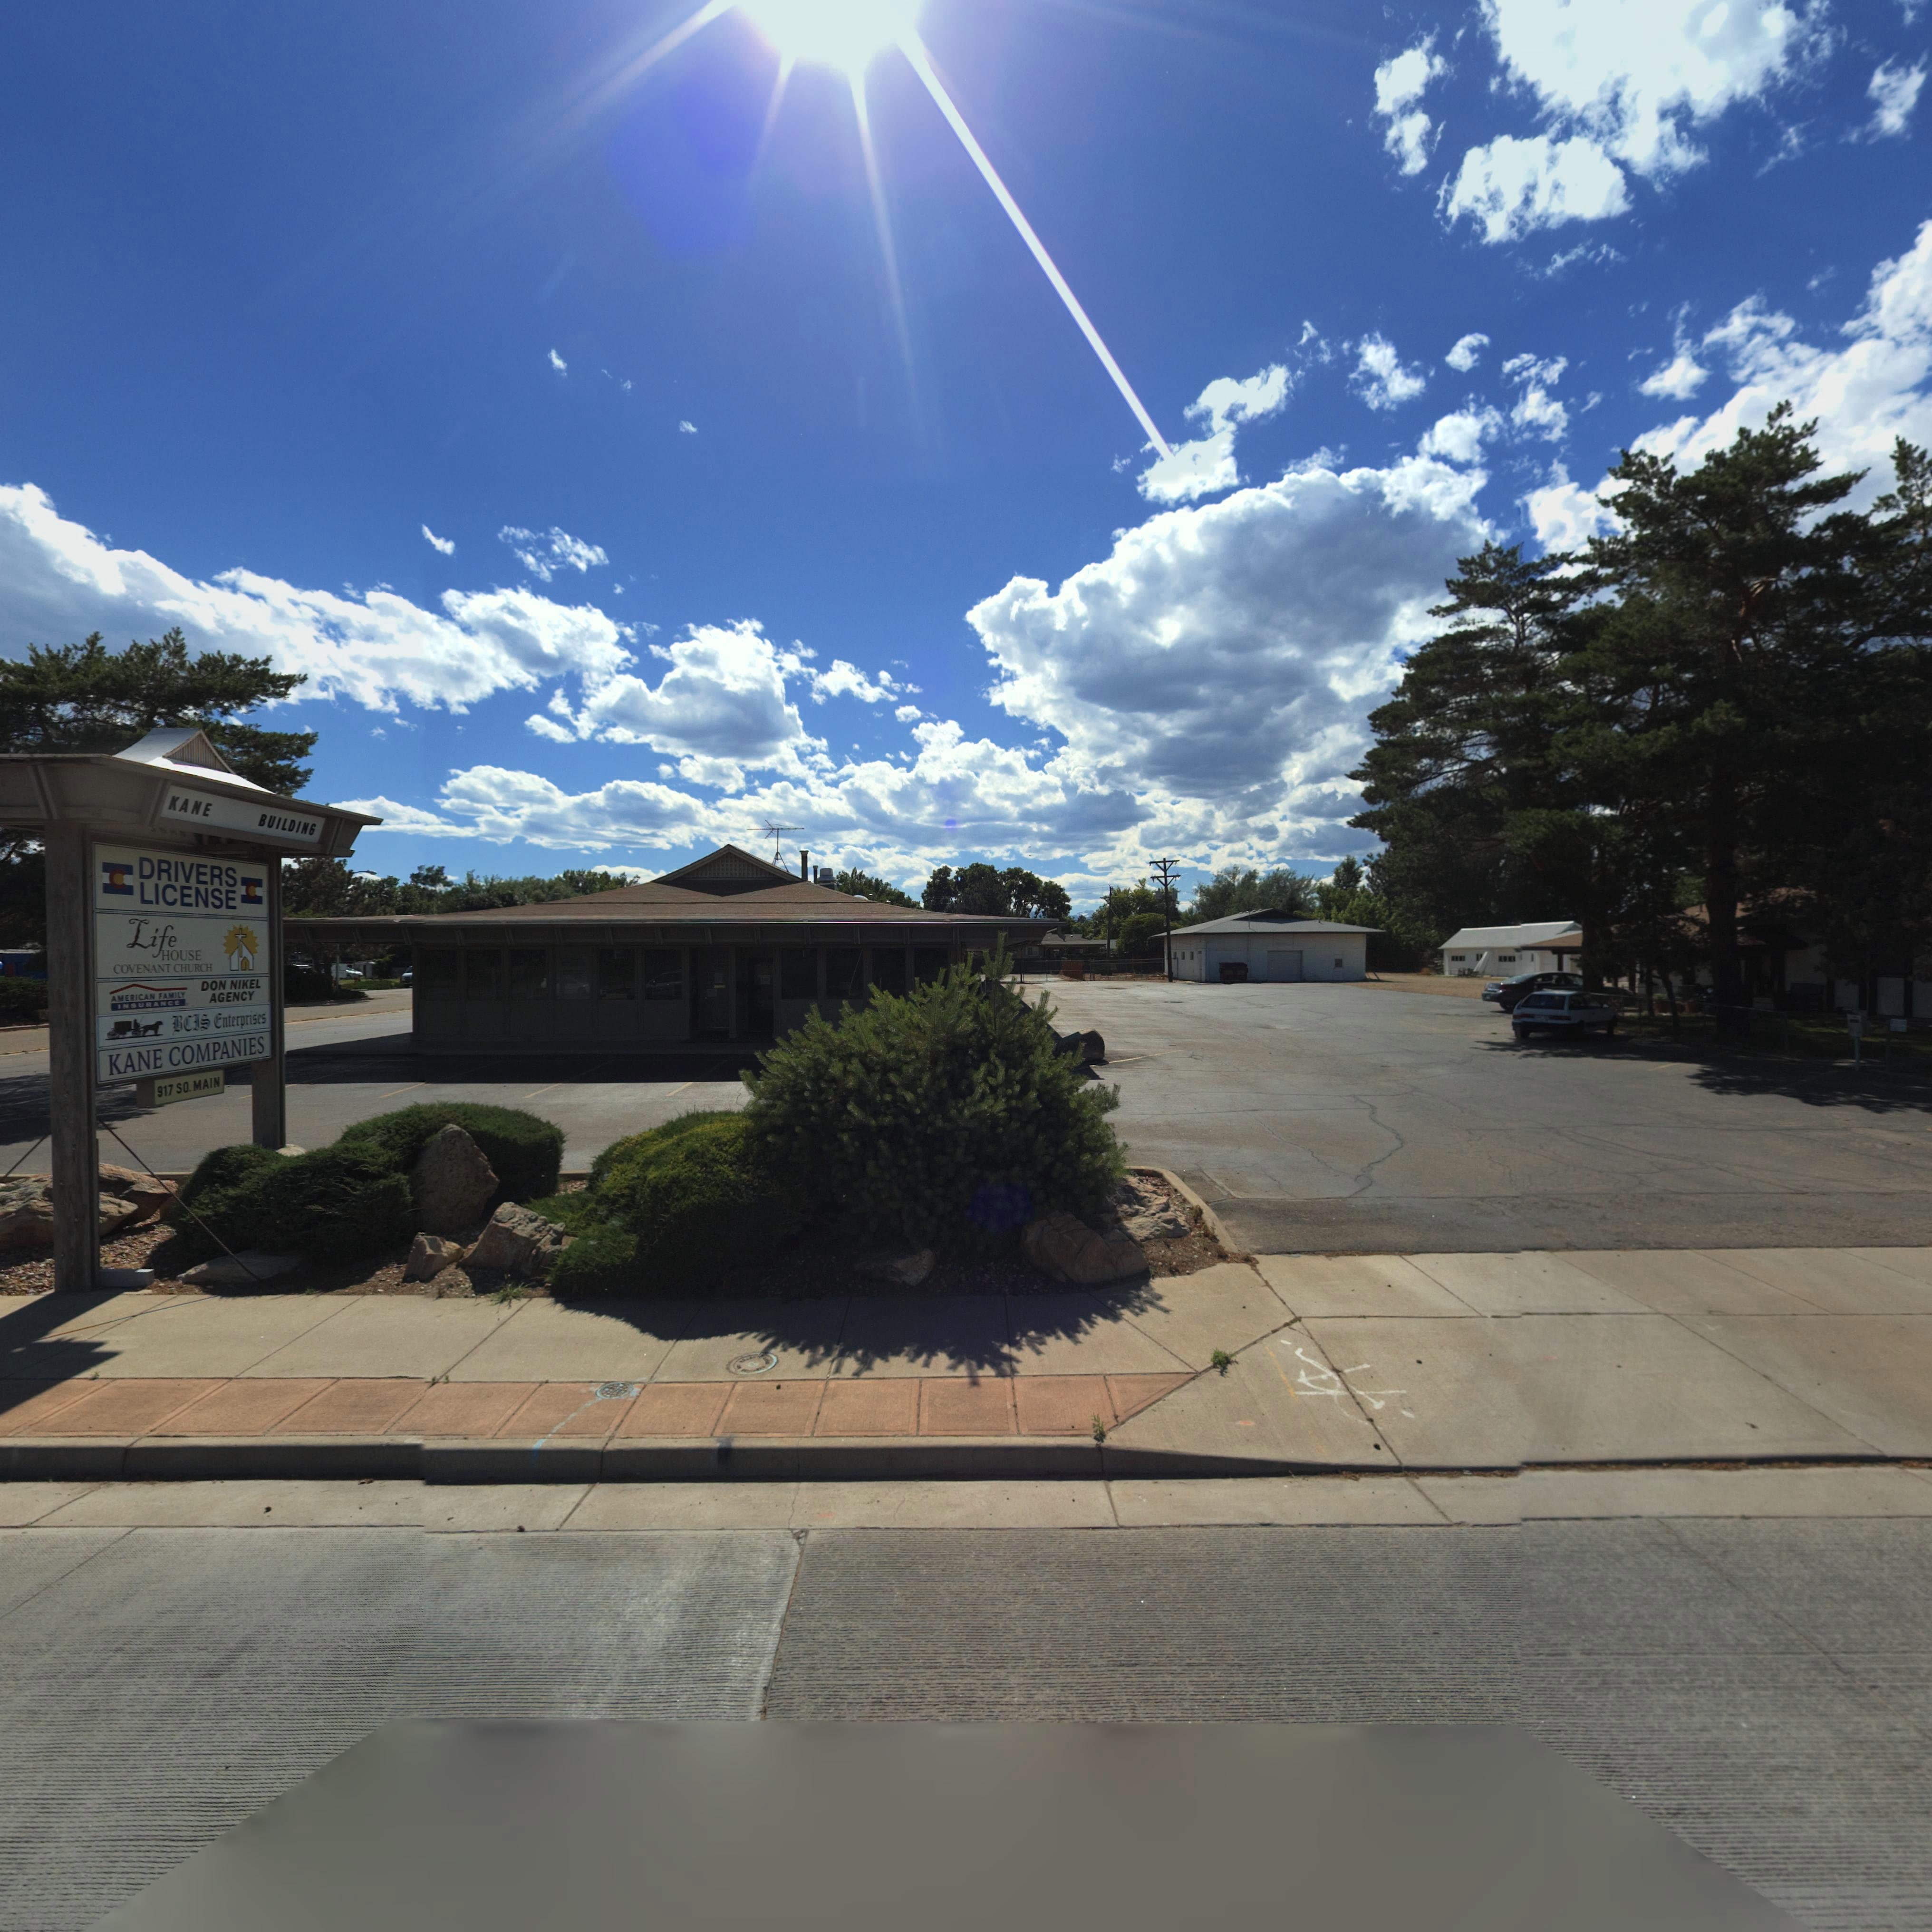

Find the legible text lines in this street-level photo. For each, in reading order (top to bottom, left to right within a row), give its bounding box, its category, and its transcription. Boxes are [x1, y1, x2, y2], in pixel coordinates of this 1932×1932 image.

[166, 793, 318, 838] BusinessName: KANE BUILDING
[125, 916, 177, 959] BusinessName: Life
[161, 949, 202, 961] BusinessName: HOUSE
[112, 962, 213, 975] BusinessName: COVENANT CHURCH
[109, 991, 186, 1003] BusinessName: AMERICAN FAMILY
[116, 999, 180, 1010] BusinessName: INSURANCE
[172, 1010, 267, 1034] BusinessName: BCIS Enterprises
[156, 1083, 174, 1099] StreetNumber: 917
[175, 1075, 220, 1094] StreetName: SO. MAIN